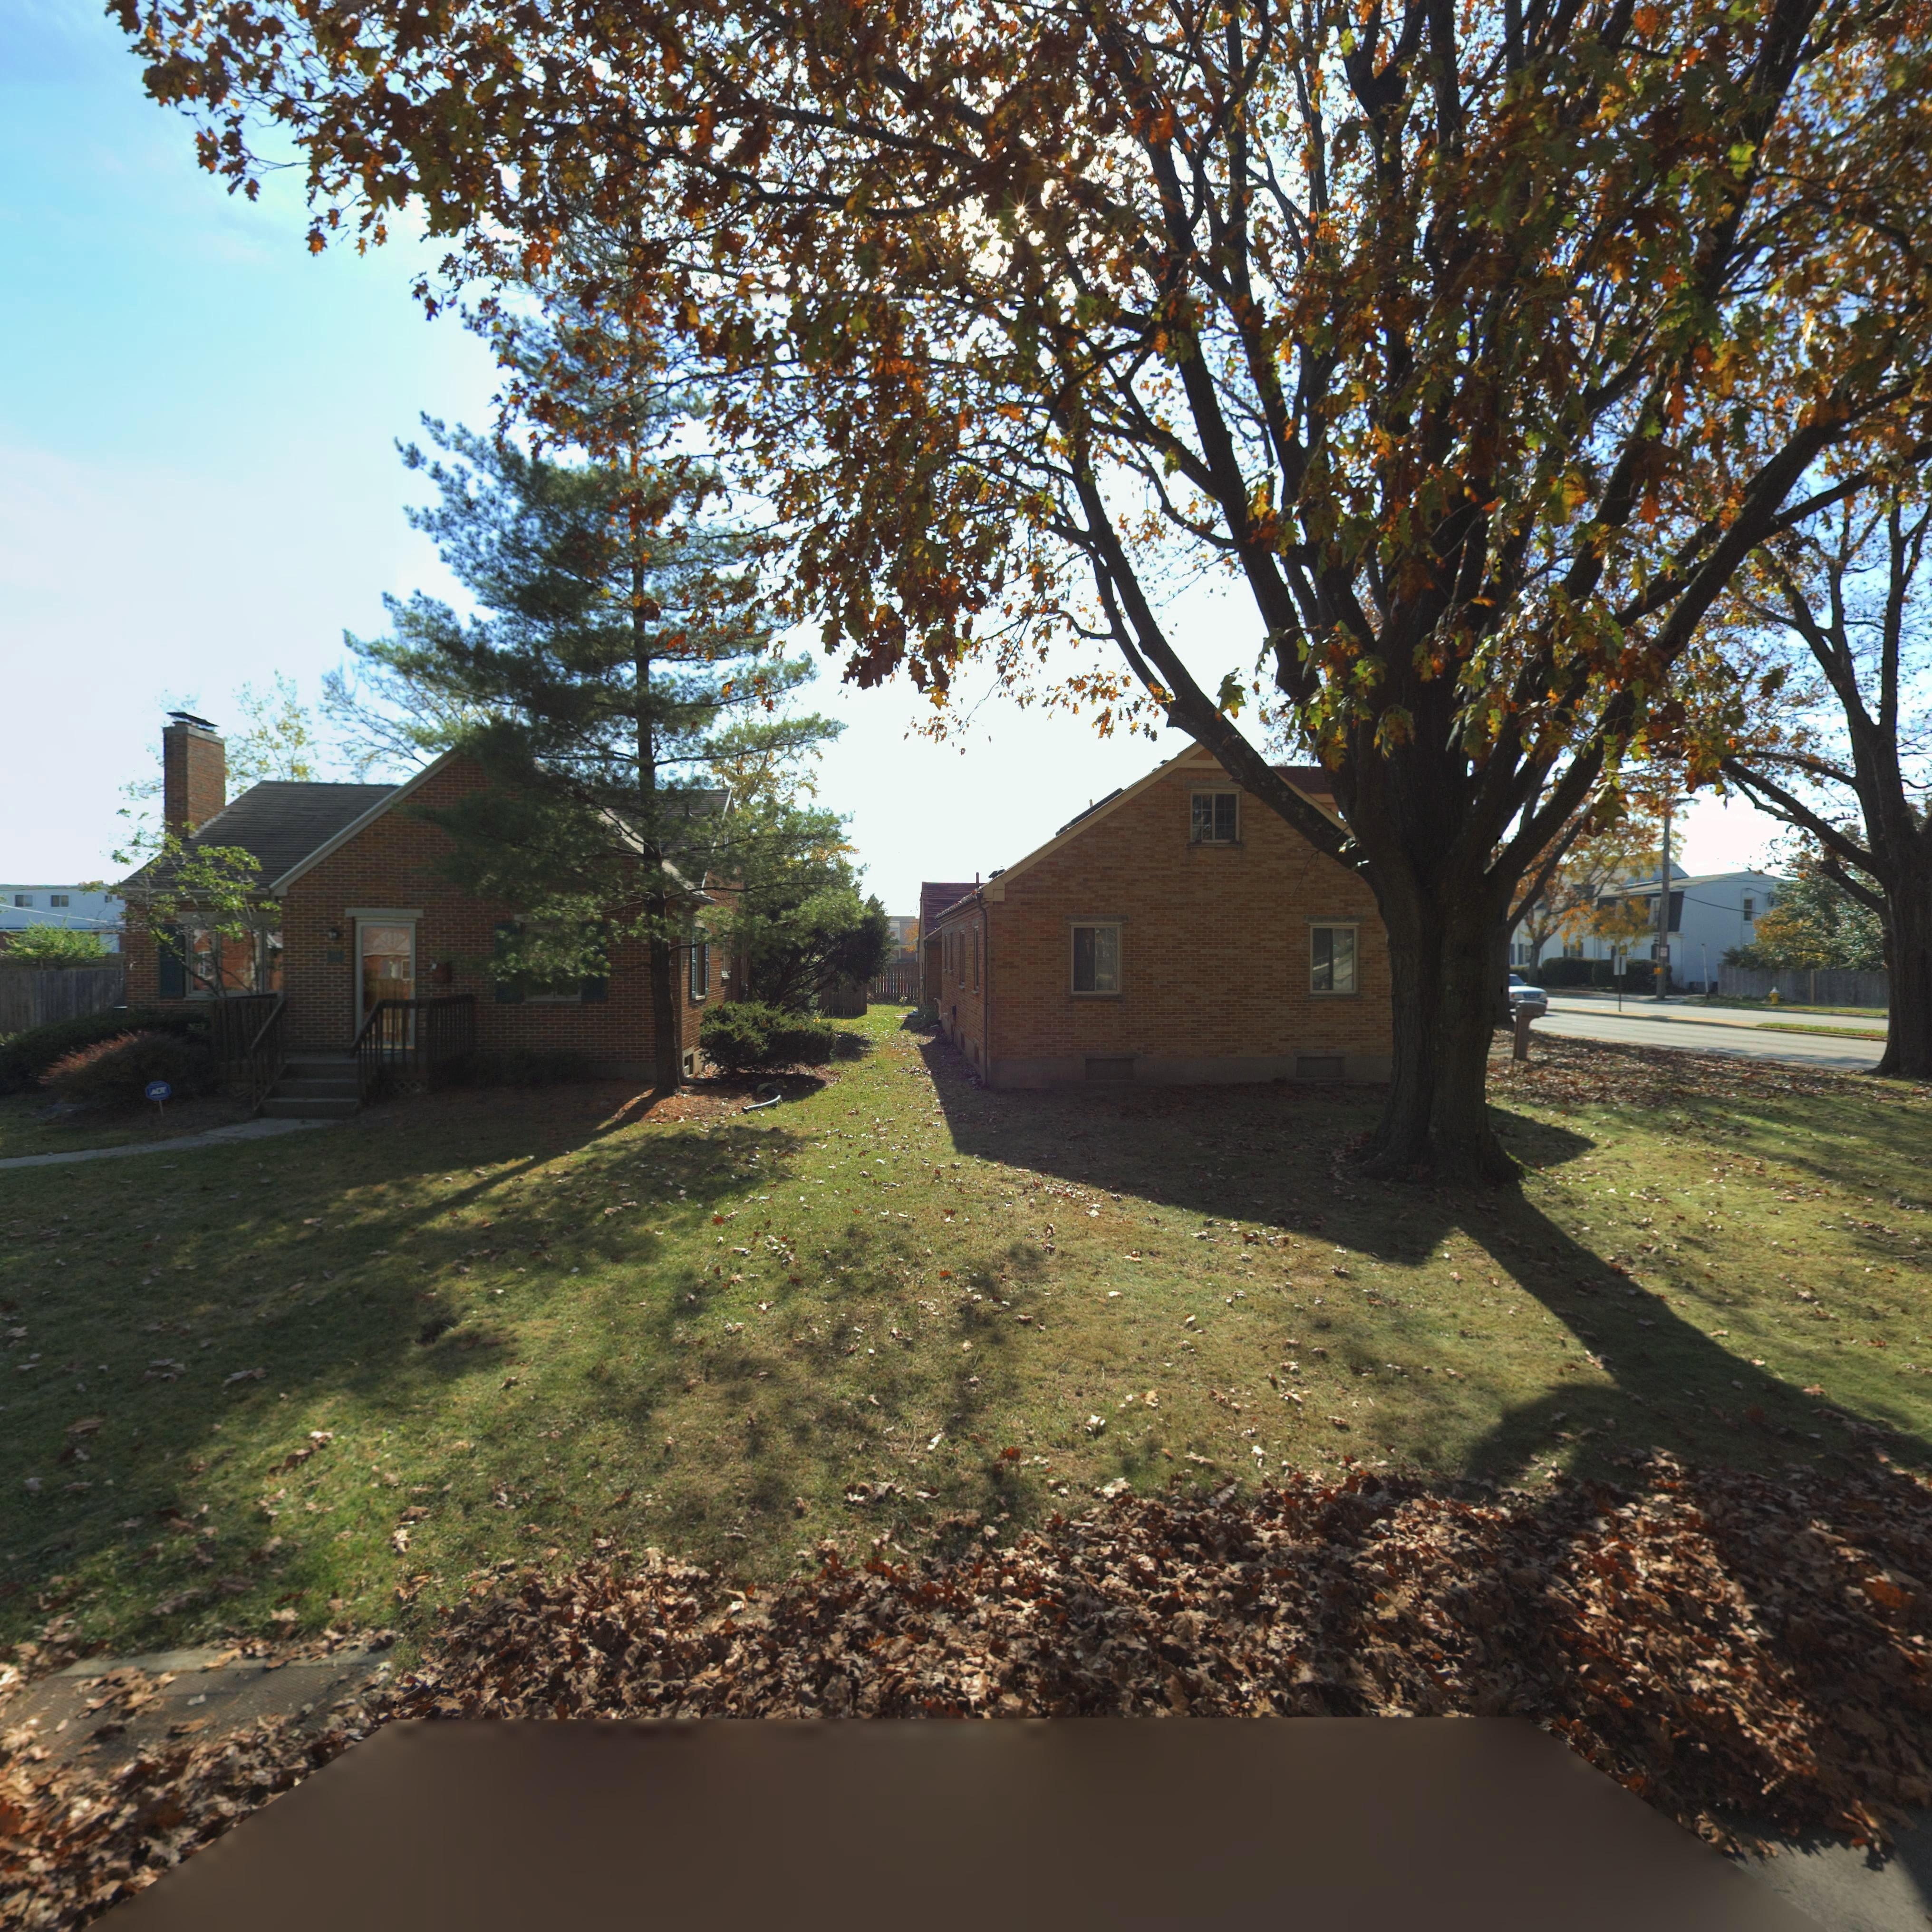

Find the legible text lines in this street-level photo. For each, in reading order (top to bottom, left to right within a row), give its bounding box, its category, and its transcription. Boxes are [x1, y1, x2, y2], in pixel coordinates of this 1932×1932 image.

[150, 1086, 167, 1096] None: ADT